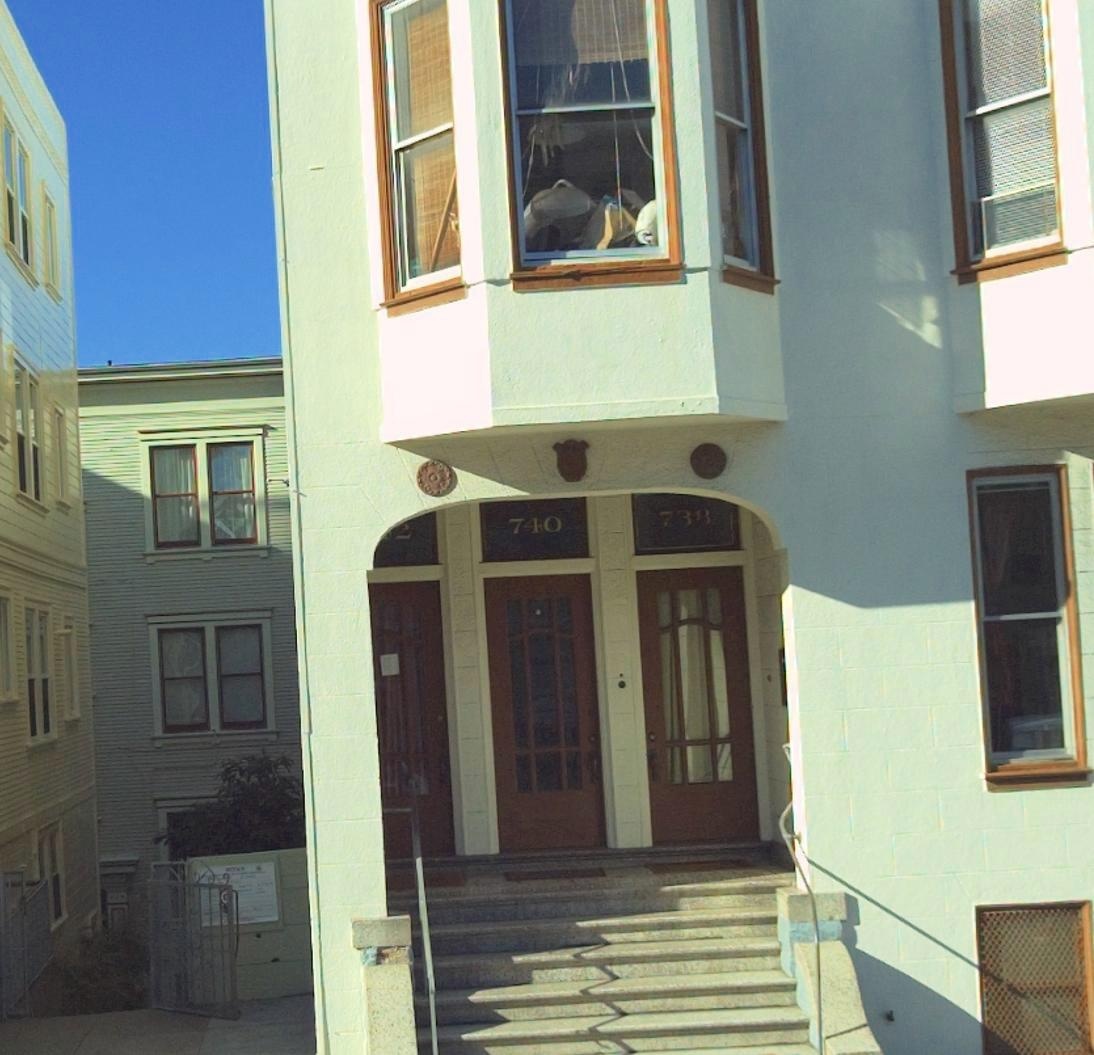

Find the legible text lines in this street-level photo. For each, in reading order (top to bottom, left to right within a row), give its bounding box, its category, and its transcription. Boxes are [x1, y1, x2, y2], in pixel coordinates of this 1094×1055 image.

[506, 513, 564, 537] StreetNumber: 740
[656, 506, 712, 530] StreetNumber: 738